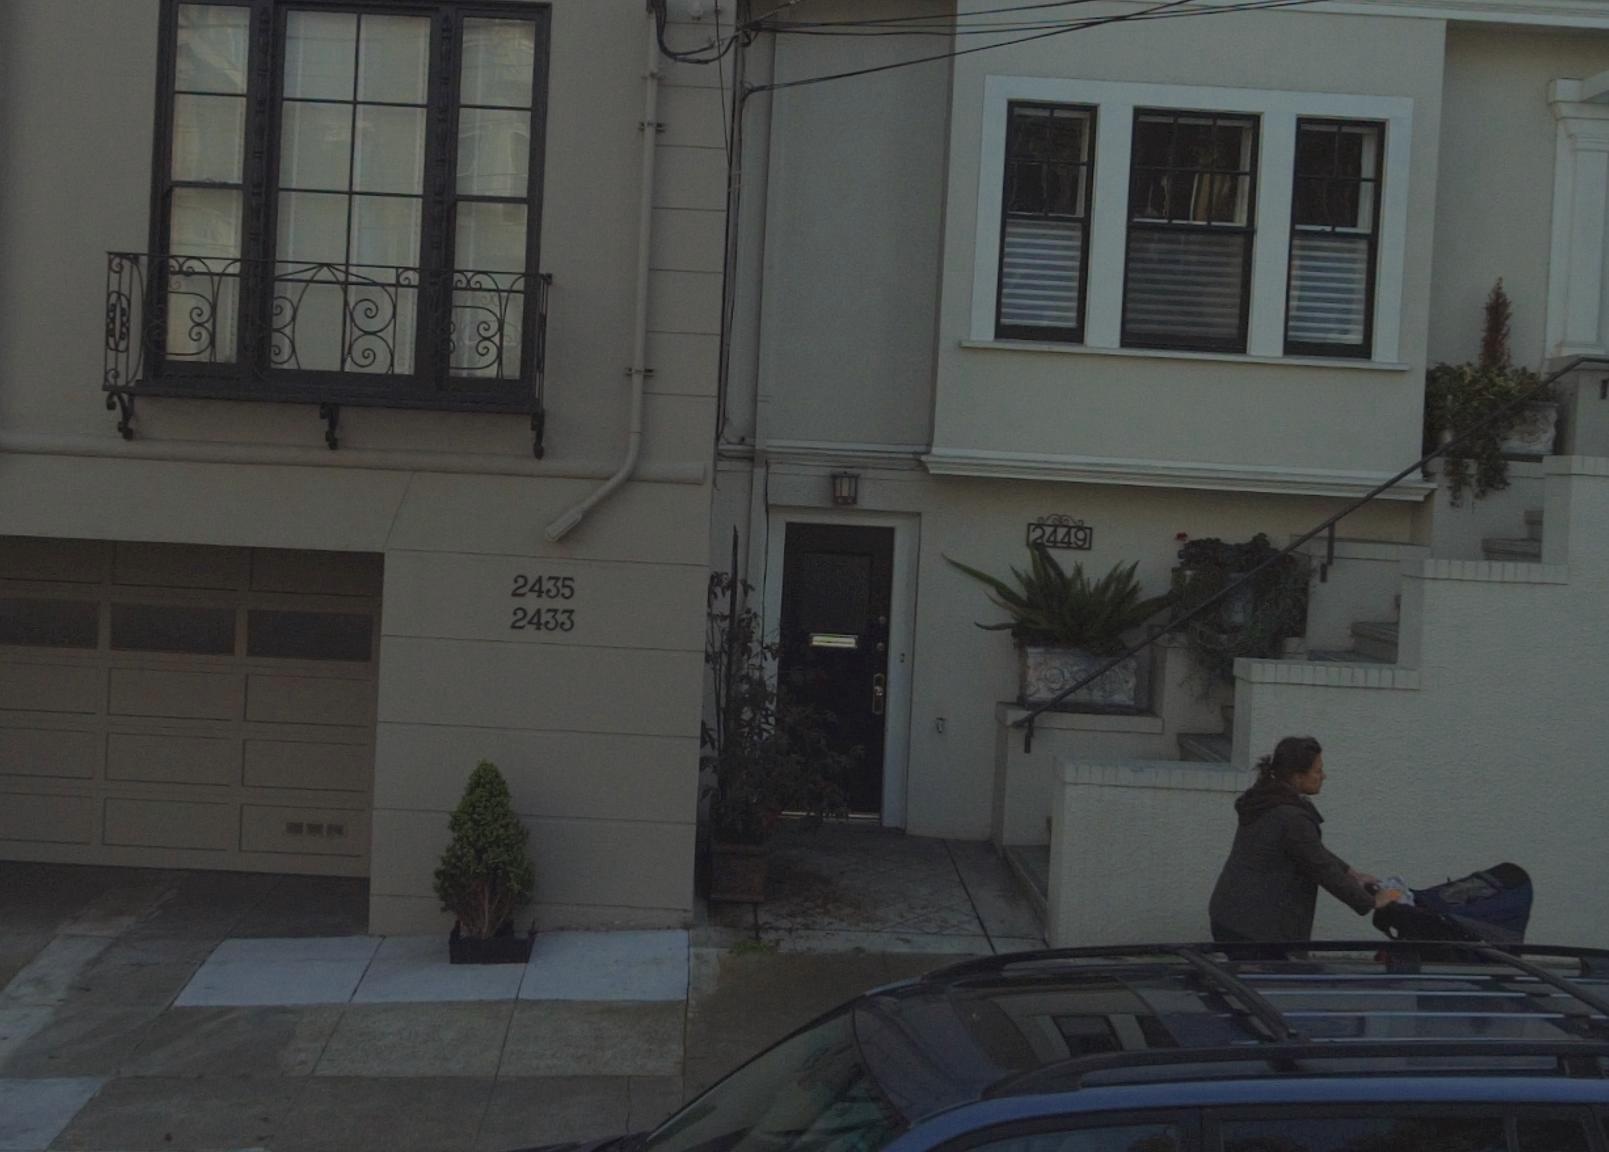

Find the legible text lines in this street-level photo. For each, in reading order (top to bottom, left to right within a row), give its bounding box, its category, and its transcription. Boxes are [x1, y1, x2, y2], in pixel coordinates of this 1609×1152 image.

[1027, 523, 1091, 552] StreetNumber: 2449
[508, 572, 579, 601] StreetNumber: 2435
[507, 604, 578, 635] StreetNumber: 2433